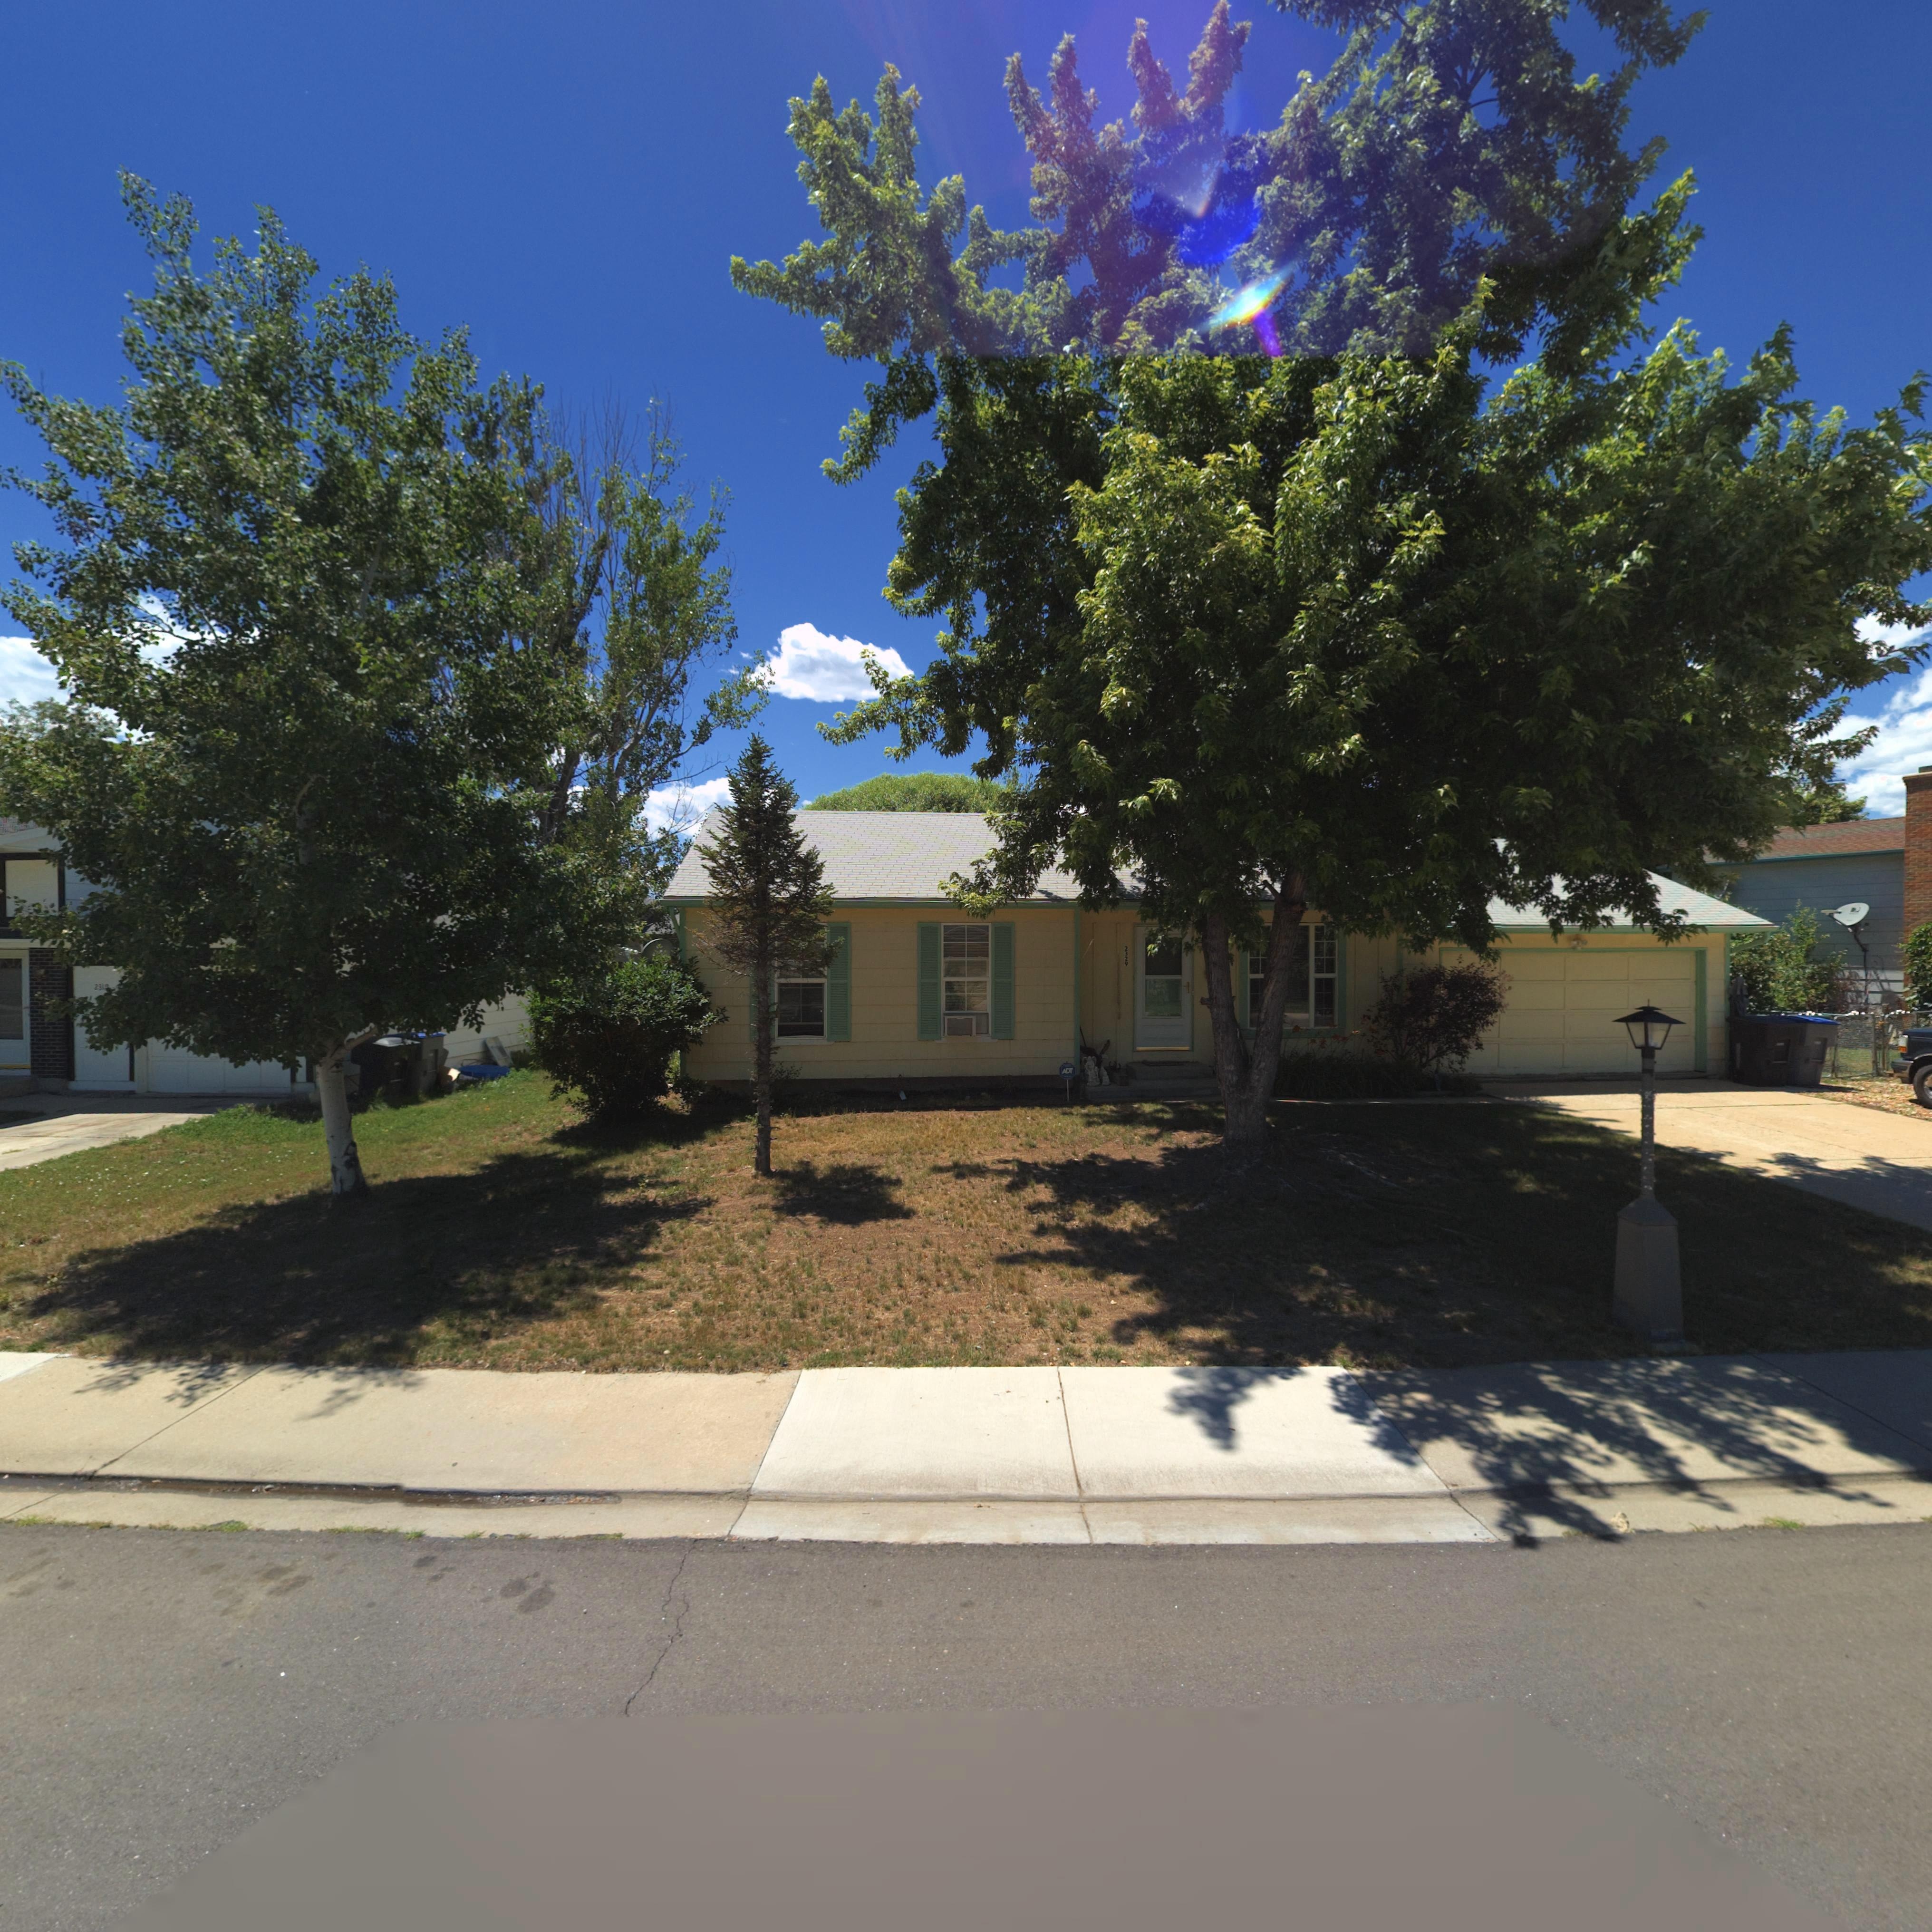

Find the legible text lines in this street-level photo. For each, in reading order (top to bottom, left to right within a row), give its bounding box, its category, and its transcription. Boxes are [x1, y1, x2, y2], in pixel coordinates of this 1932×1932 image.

[1124, 946, 1128, 966] StreetNumber: 2329